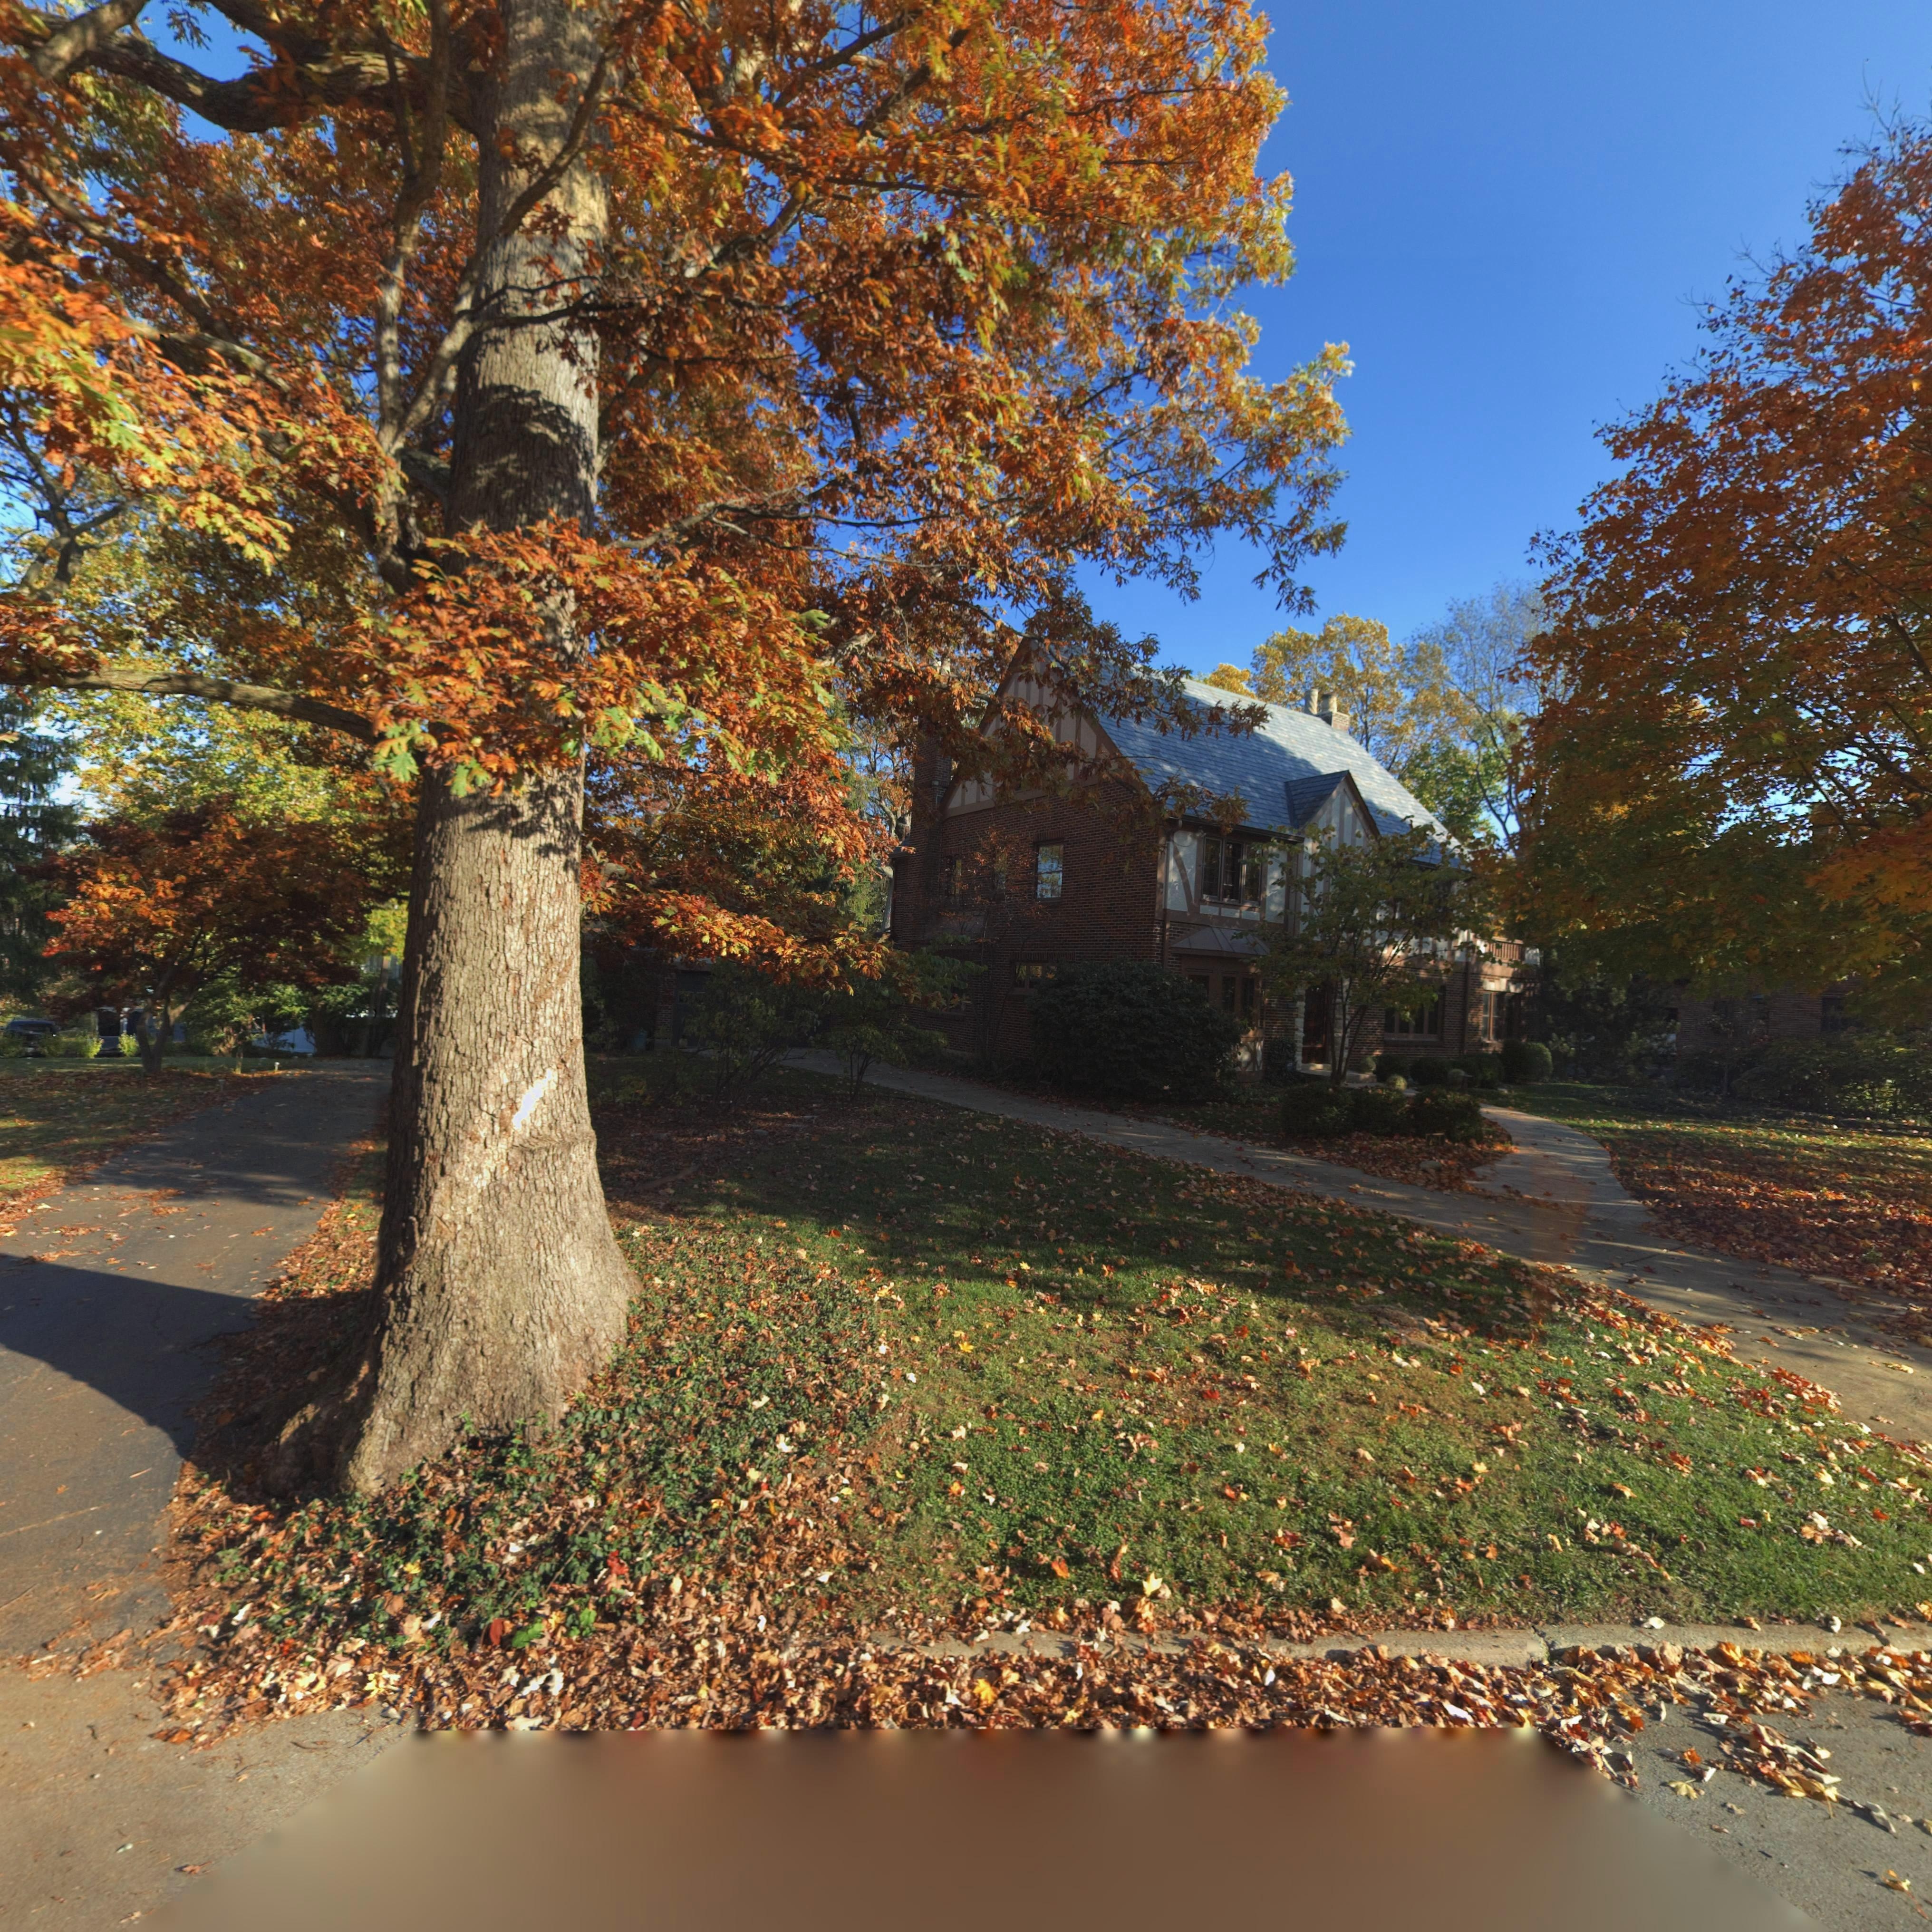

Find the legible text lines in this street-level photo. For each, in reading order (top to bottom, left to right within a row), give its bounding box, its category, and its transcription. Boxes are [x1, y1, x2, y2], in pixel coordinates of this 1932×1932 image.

[1427, 1133, 1443, 1147] StreetNumber: 294\